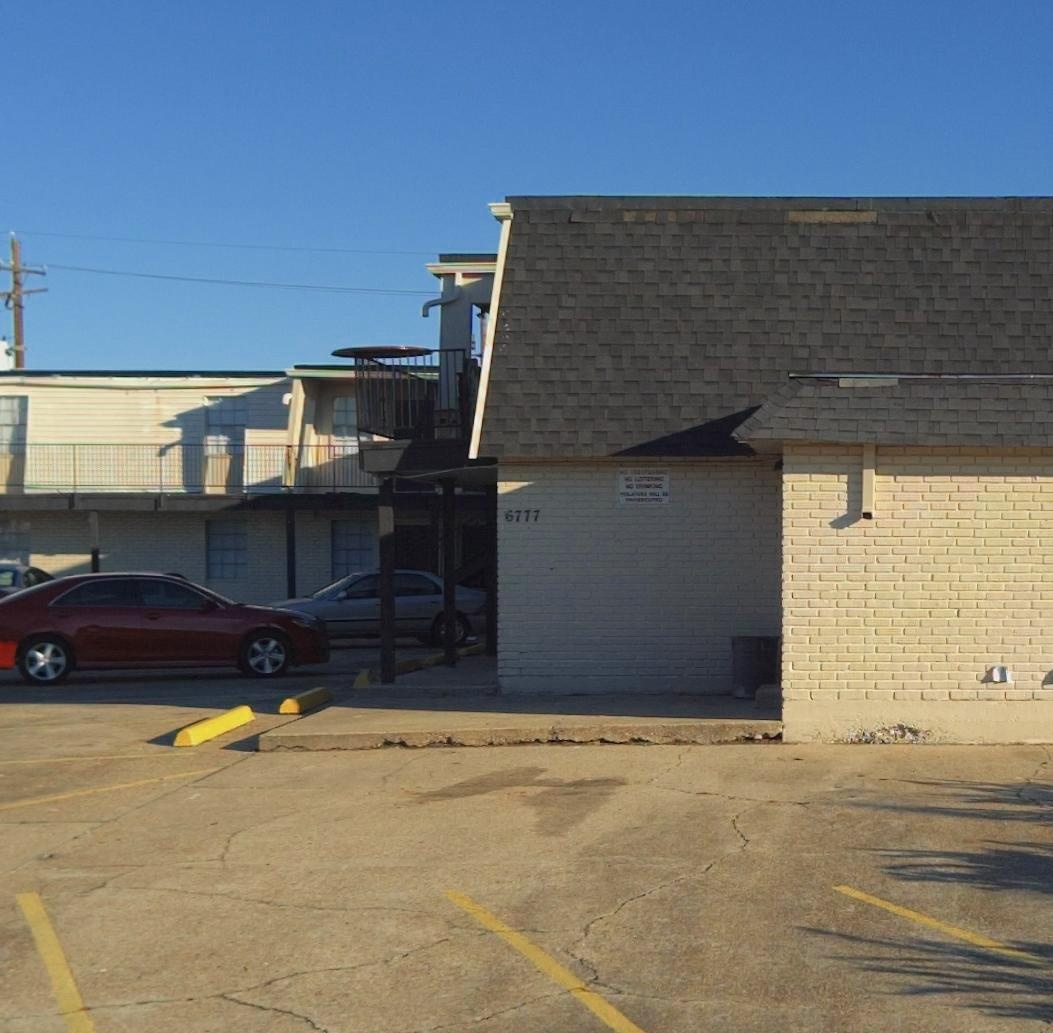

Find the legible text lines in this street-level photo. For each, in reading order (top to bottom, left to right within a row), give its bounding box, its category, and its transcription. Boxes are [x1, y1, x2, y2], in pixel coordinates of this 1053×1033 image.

[503, 508, 543, 525] StreetNumber: 6777